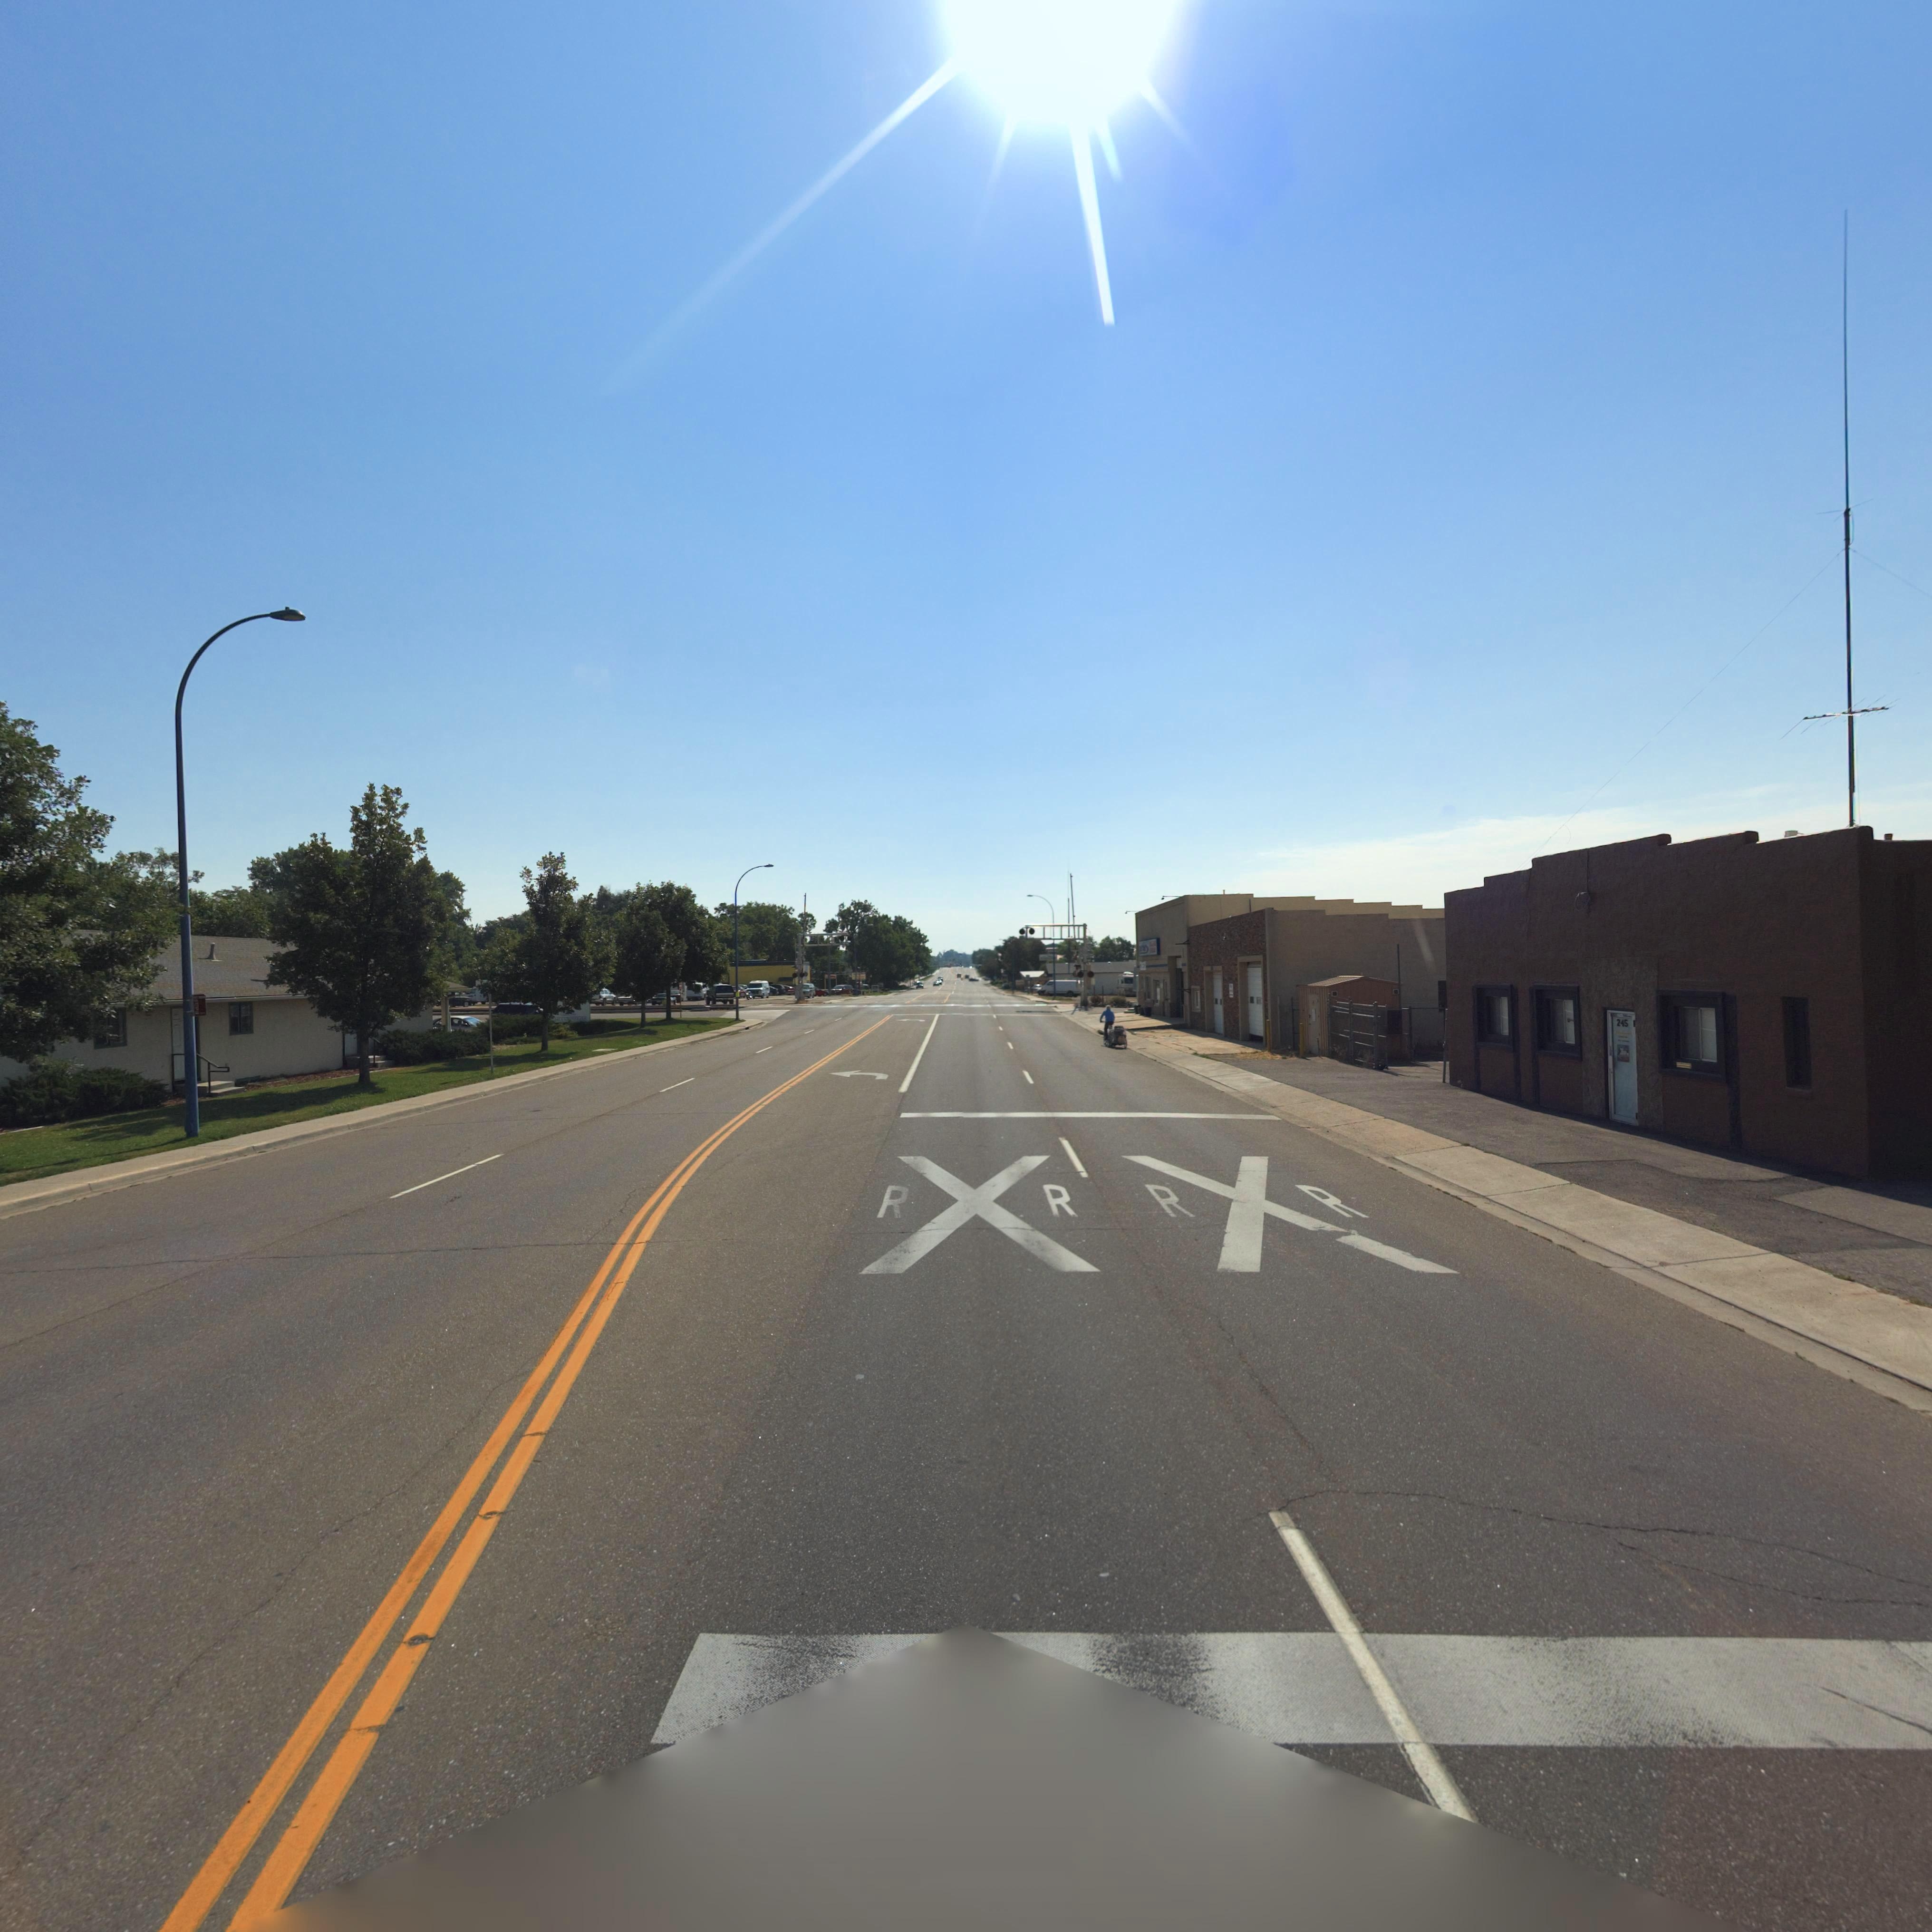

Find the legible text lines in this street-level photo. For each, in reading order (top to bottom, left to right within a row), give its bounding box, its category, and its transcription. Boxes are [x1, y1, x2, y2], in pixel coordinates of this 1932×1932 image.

[1616, 1018, 1629, 1027] StreetNumber: 245